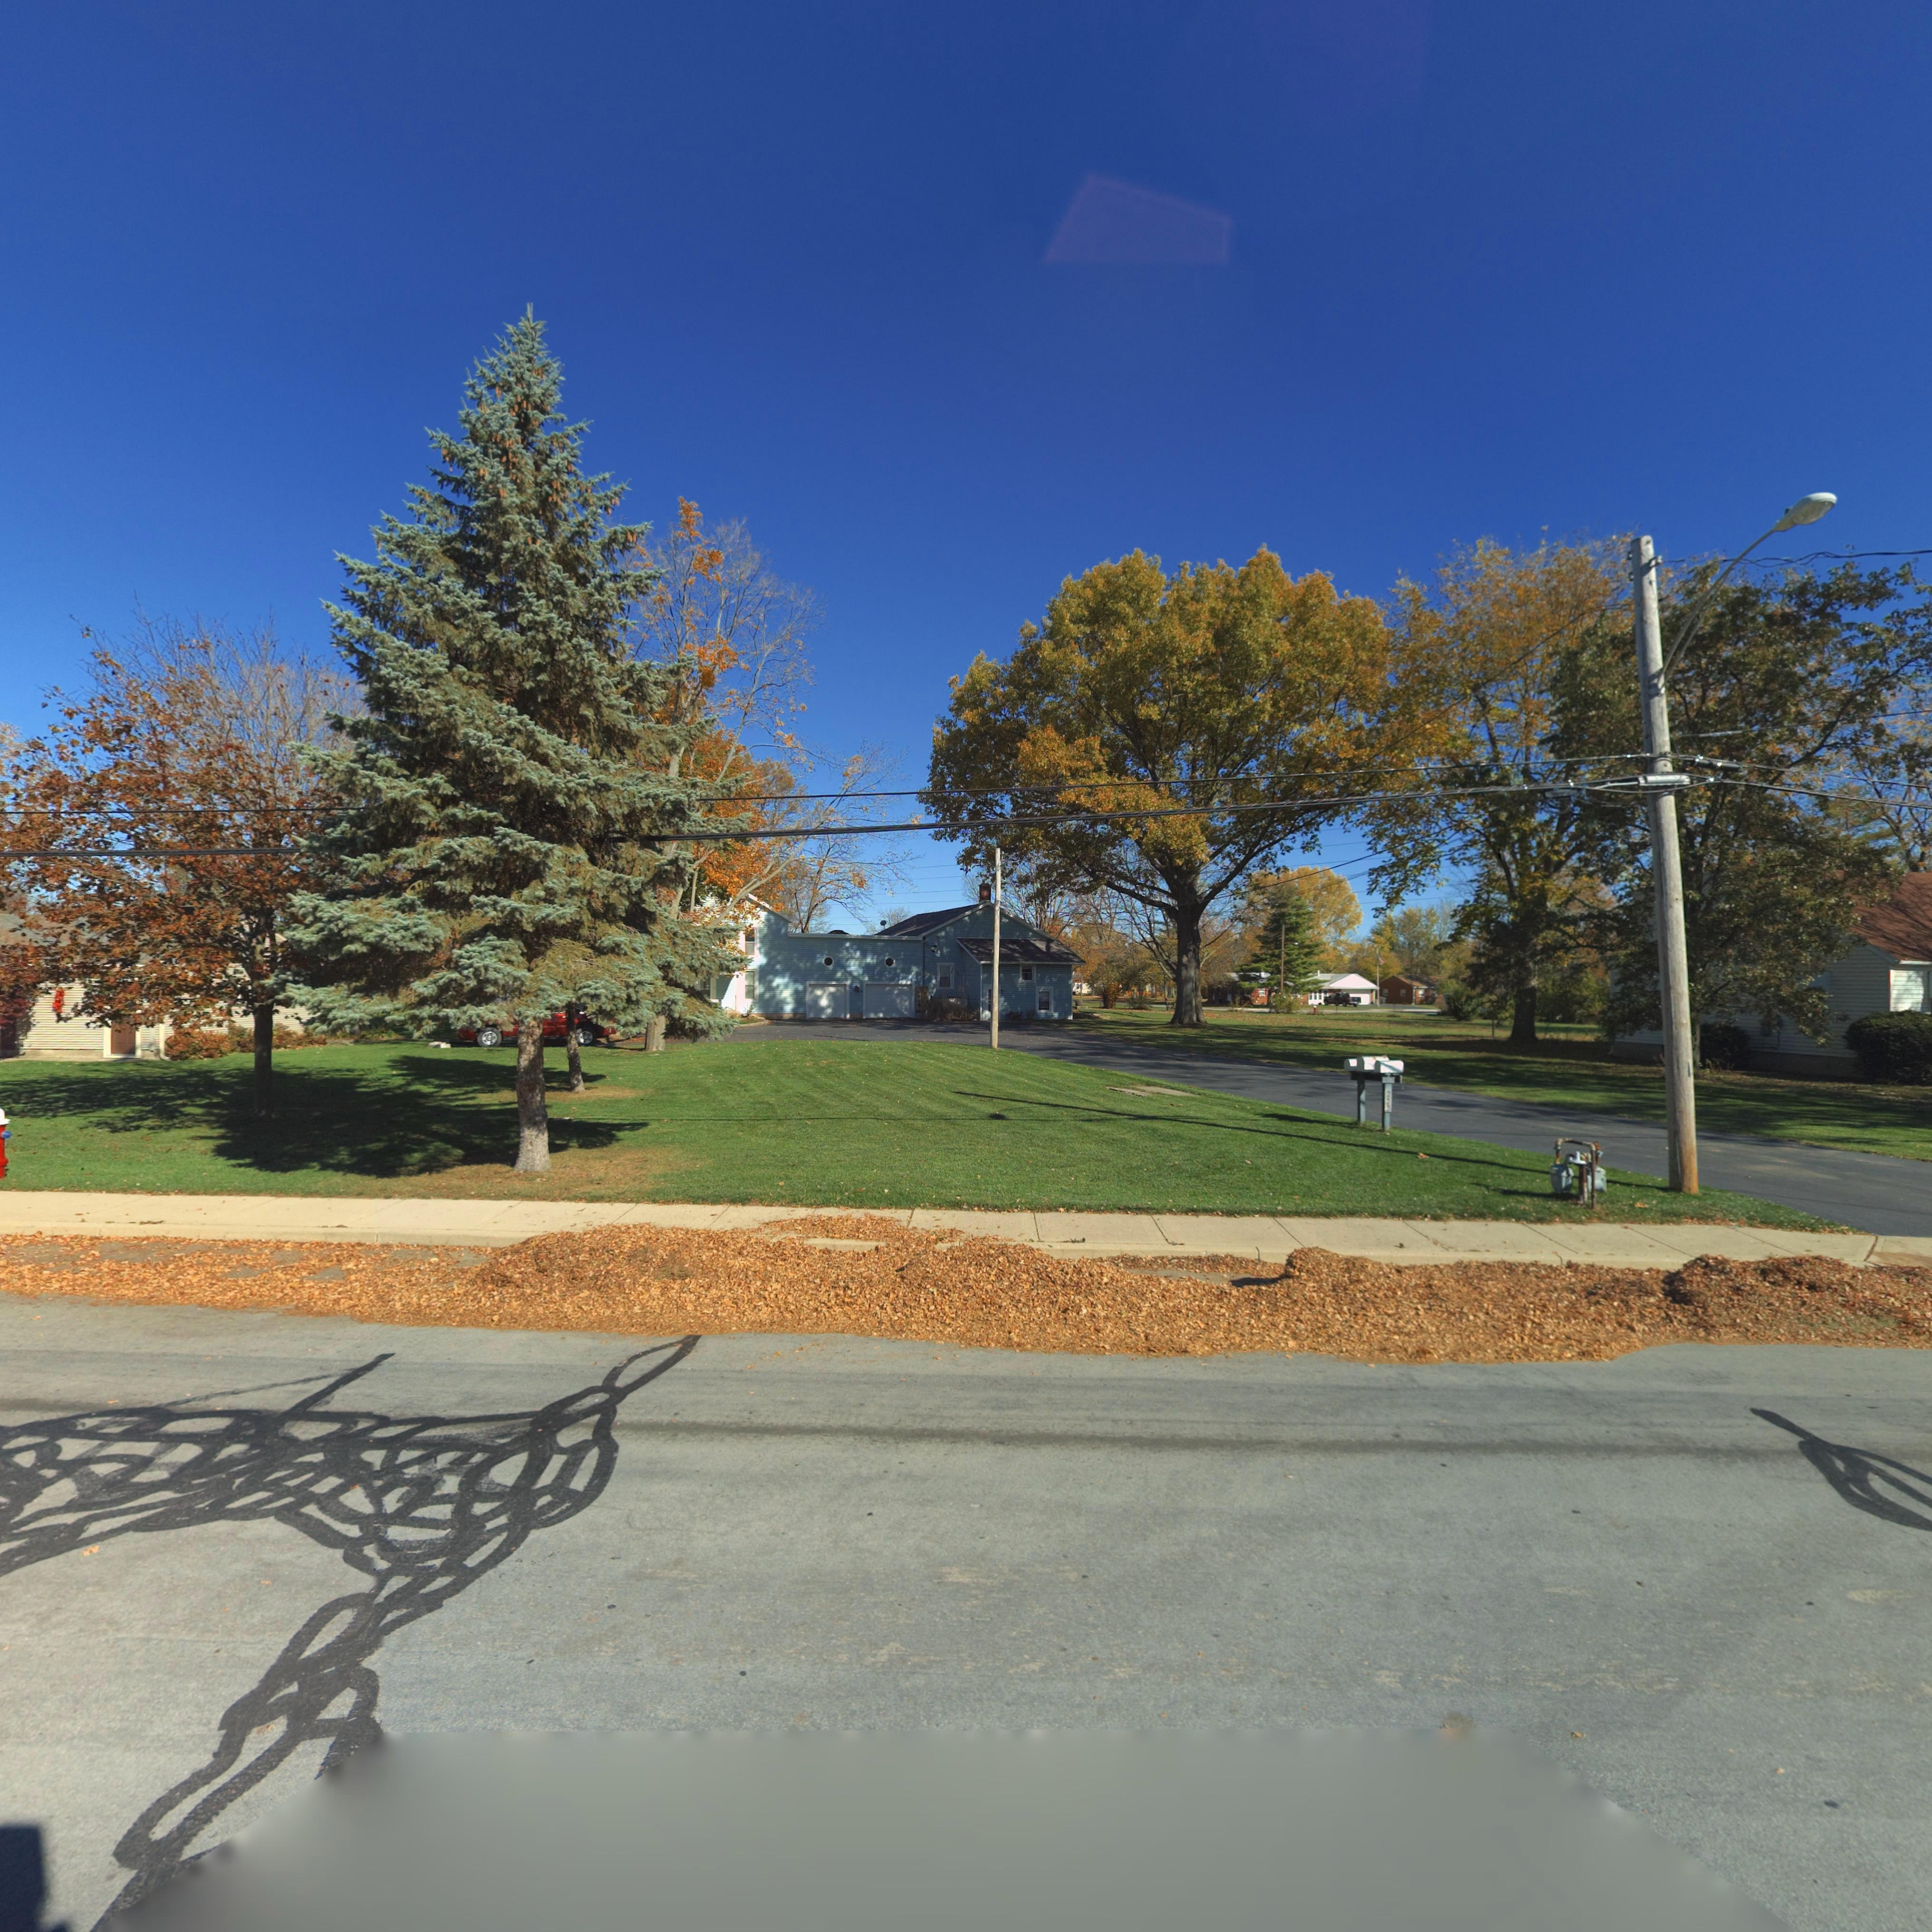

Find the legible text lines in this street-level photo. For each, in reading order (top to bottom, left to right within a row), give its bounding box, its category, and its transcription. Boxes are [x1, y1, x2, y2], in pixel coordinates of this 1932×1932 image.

[1385, 1090, 1391, 1111] StreetNumber: 222